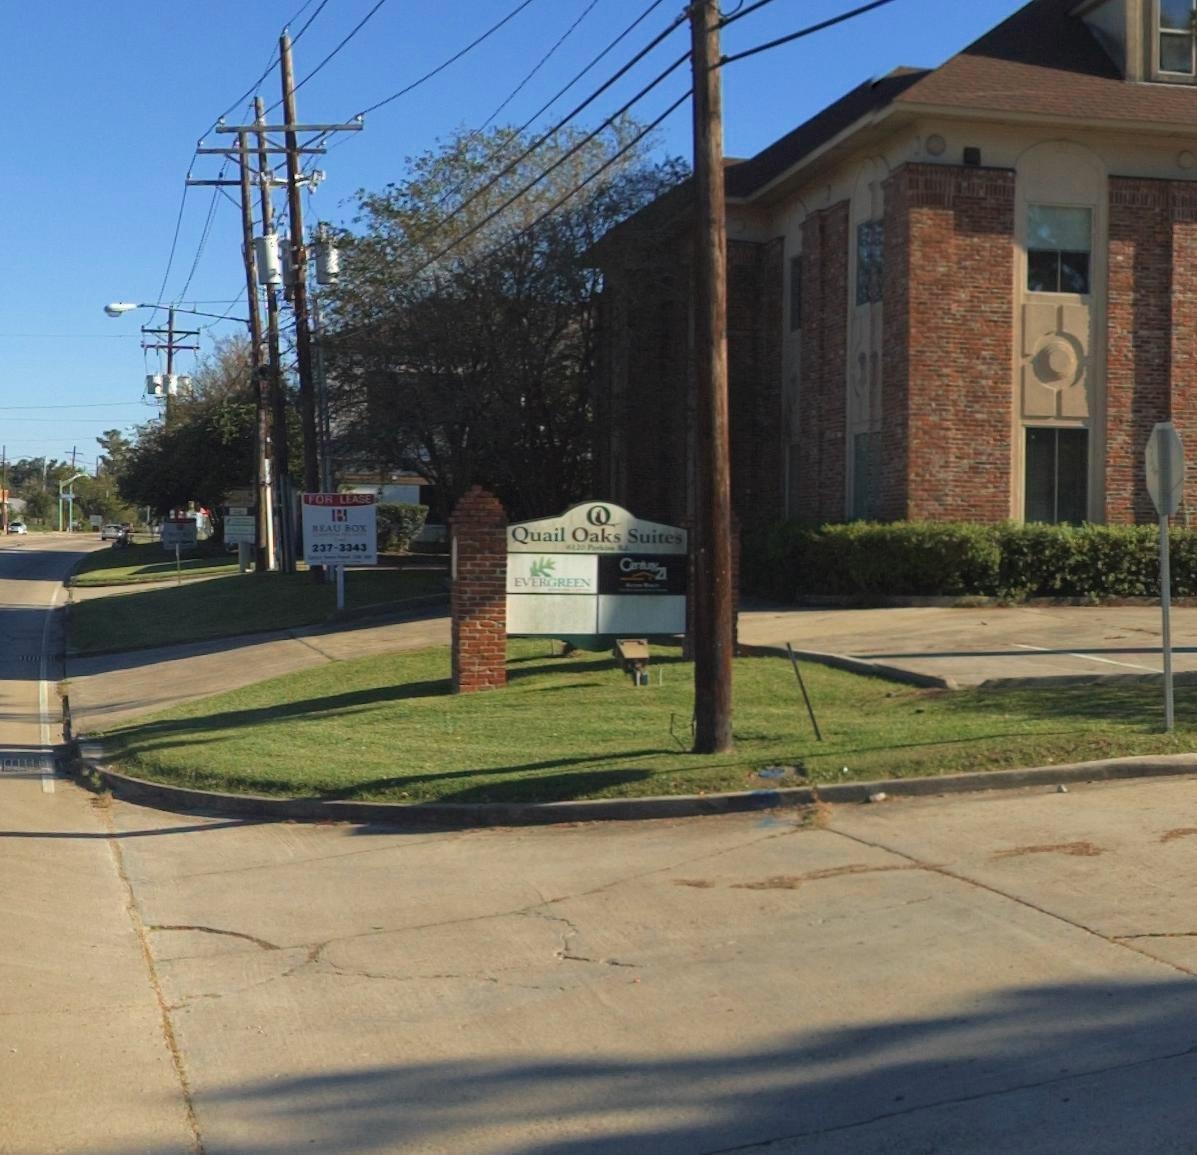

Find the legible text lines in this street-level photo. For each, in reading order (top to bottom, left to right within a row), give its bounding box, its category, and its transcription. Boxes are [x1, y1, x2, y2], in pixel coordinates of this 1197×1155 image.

[307, 494, 372, 505] None: FOR LEASE
[332, 507, 349, 523] None: B
[311, 523, 369, 534] None: BEAU BOX
[511, 525, 684, 546] BusinessName: Quail Oaks Suites
[310, 542, 367, 553] None: 237-3343
[618, 556, 661, 573] BusinessName: Century
[653, 566, 668, 581] BusinessName: 21
[513, 576, 593, 588] BusinessName: EVERGREEN